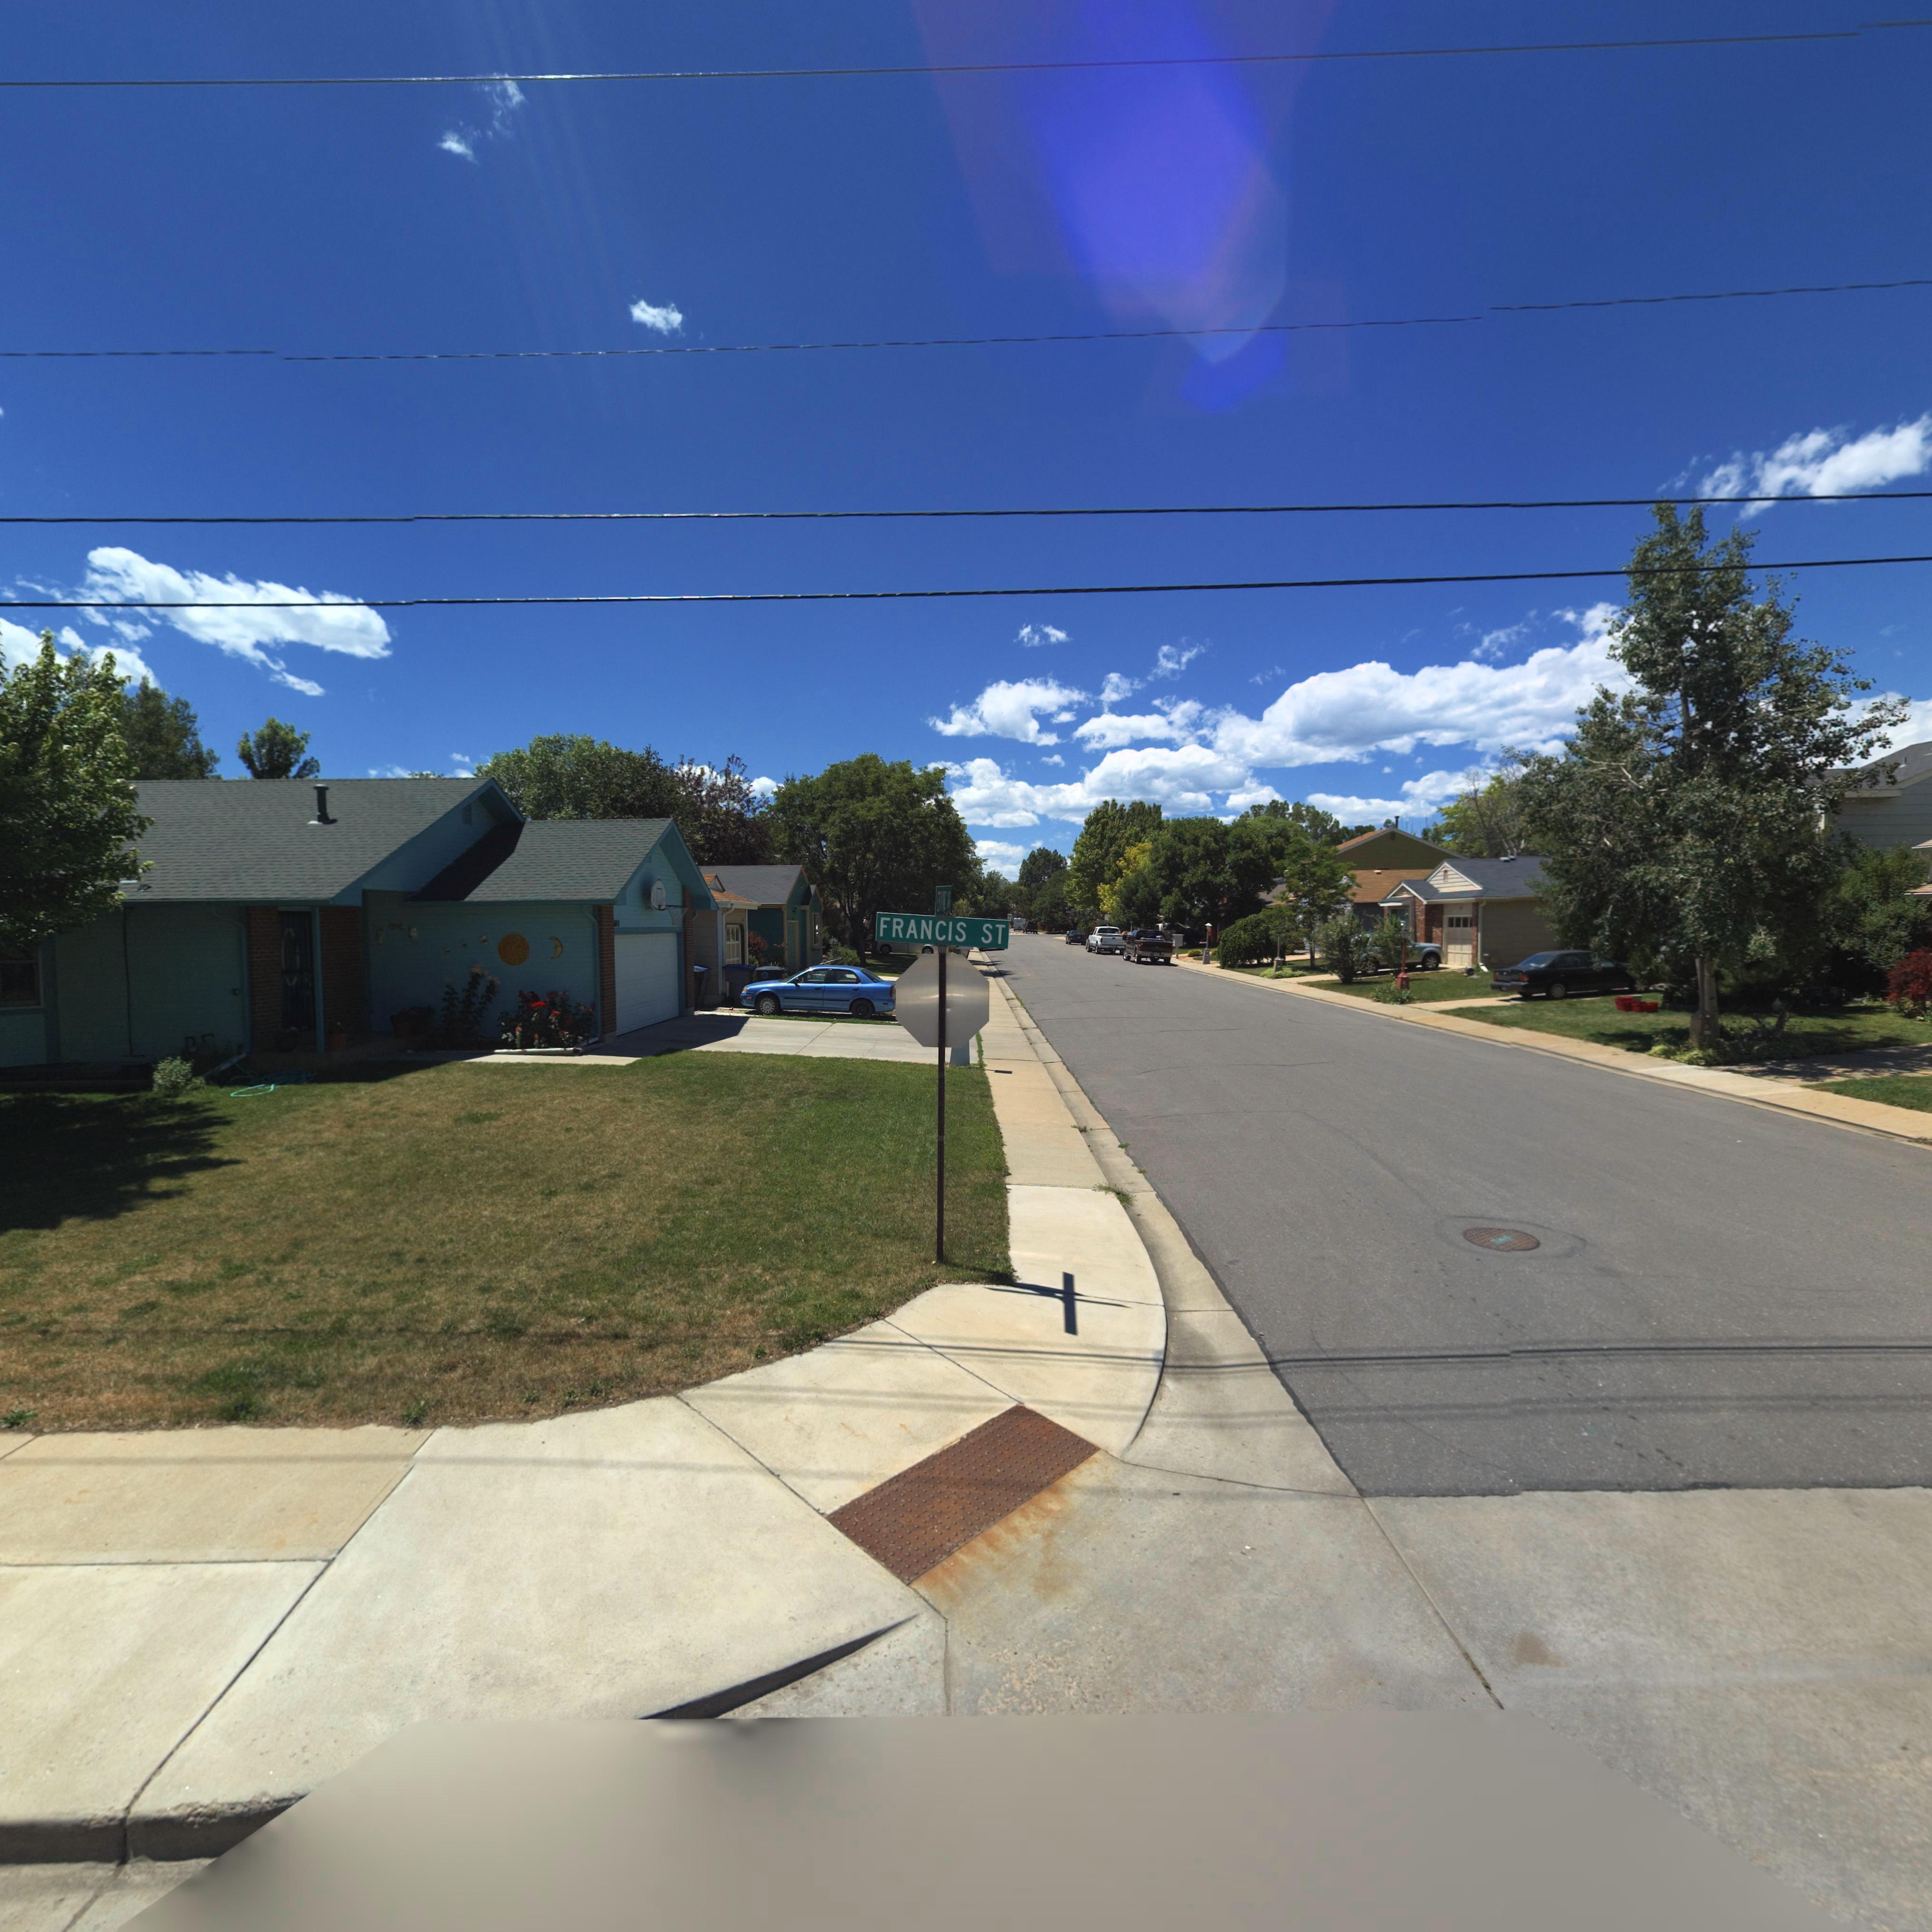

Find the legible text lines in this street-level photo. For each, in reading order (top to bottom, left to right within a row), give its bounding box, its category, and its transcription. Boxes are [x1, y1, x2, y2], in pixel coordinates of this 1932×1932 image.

[878, 915, 1007, 946] StreetName: FRANCIS ST